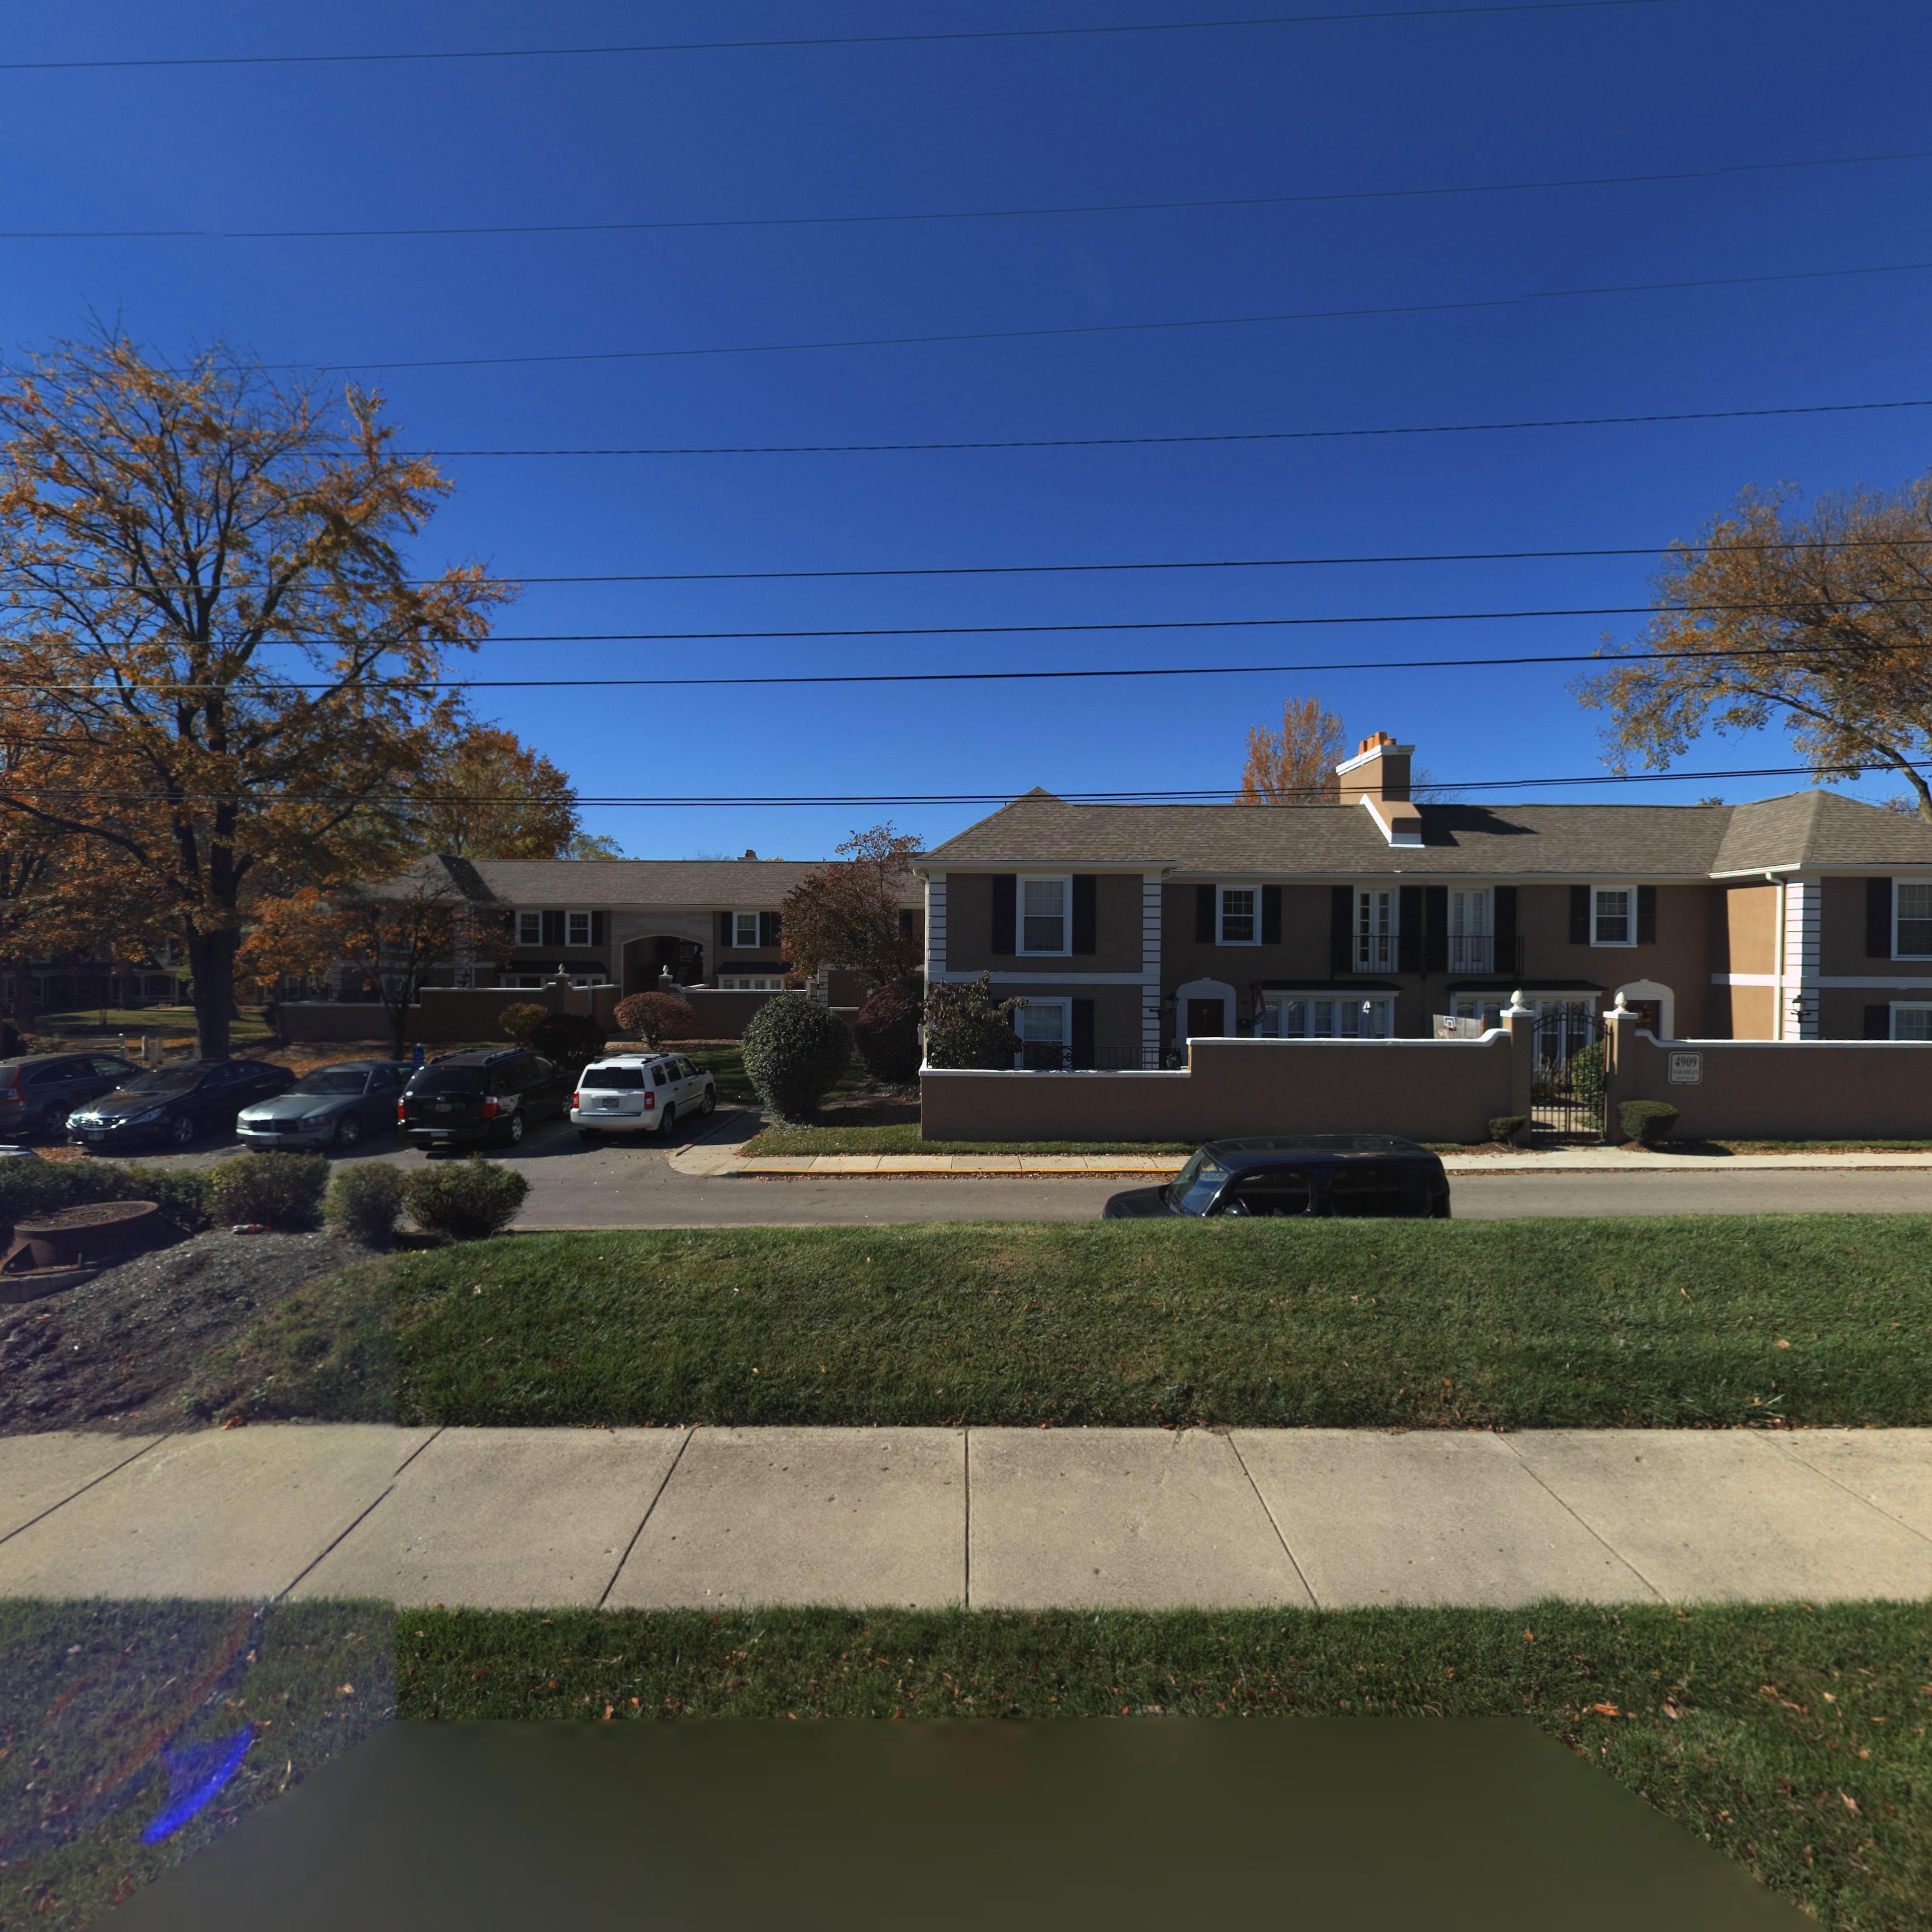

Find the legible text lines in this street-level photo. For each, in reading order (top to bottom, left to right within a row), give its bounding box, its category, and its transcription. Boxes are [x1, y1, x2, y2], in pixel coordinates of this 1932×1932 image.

[1674, 1055, 1697, 1068] StreetNumber: 4909